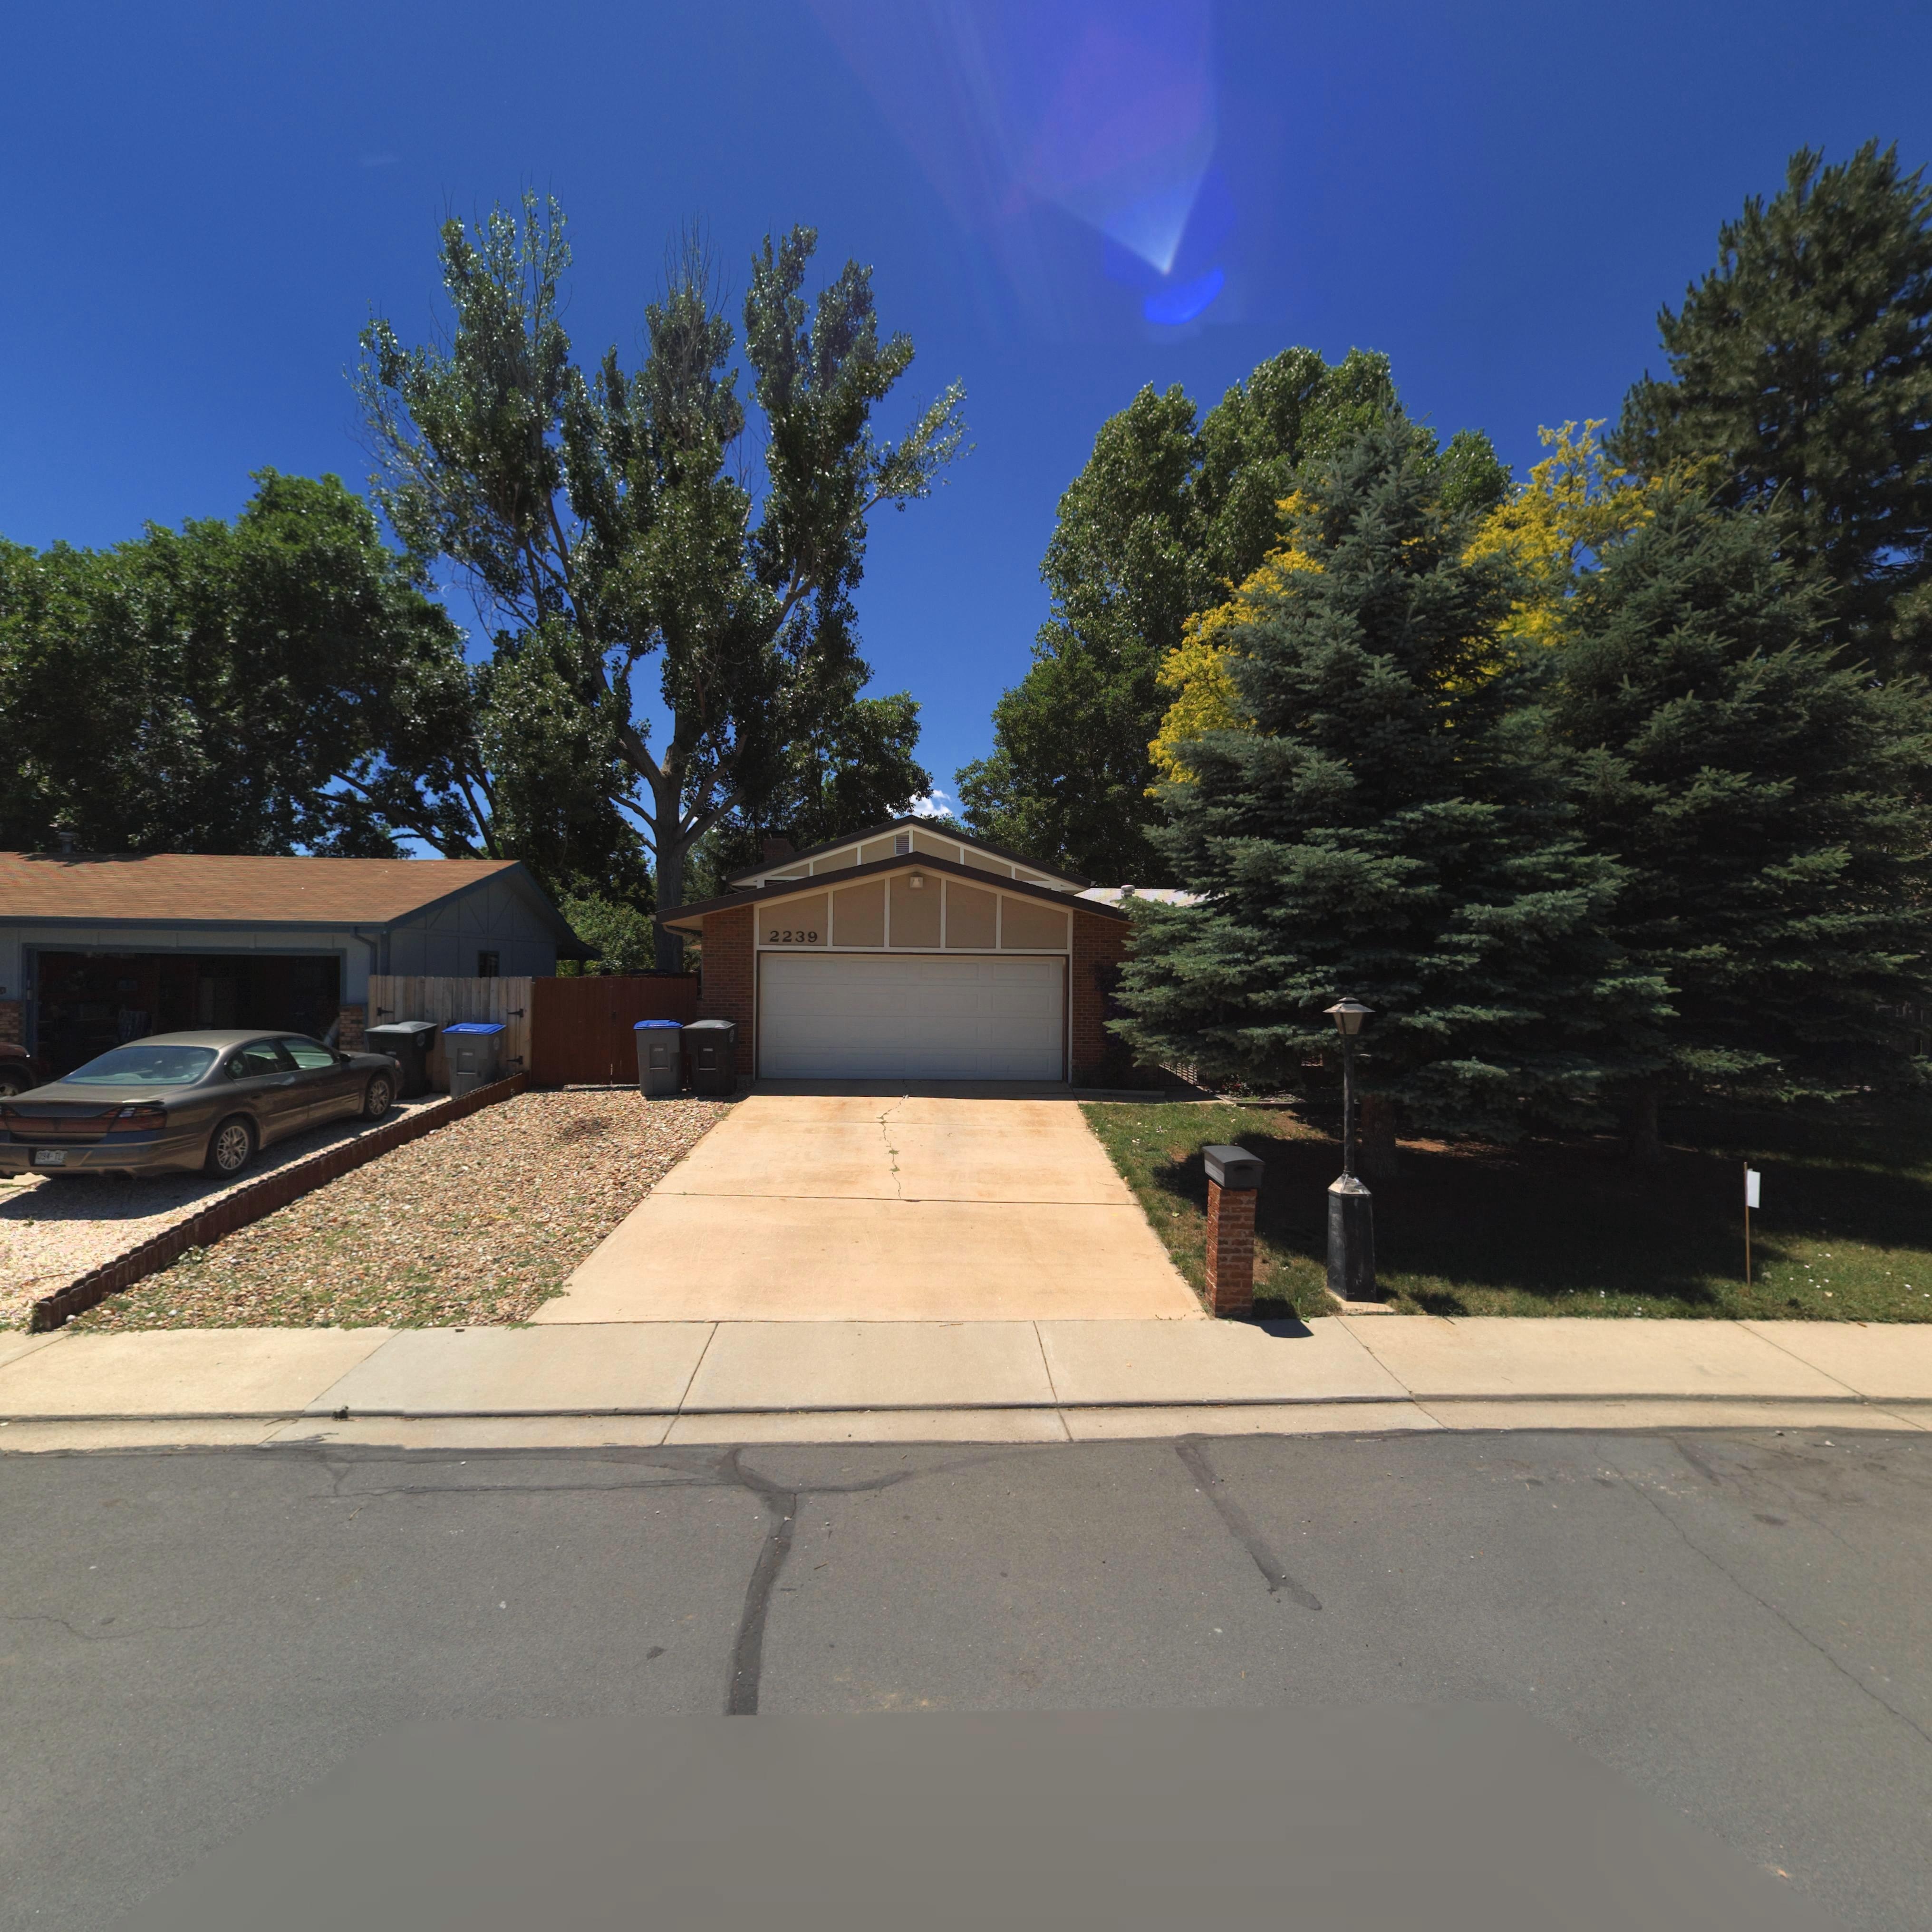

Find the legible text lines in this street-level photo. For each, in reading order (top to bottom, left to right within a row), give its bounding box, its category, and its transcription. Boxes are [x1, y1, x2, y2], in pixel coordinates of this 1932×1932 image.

[768, 930, 818, 943] StreetNumber: 2239